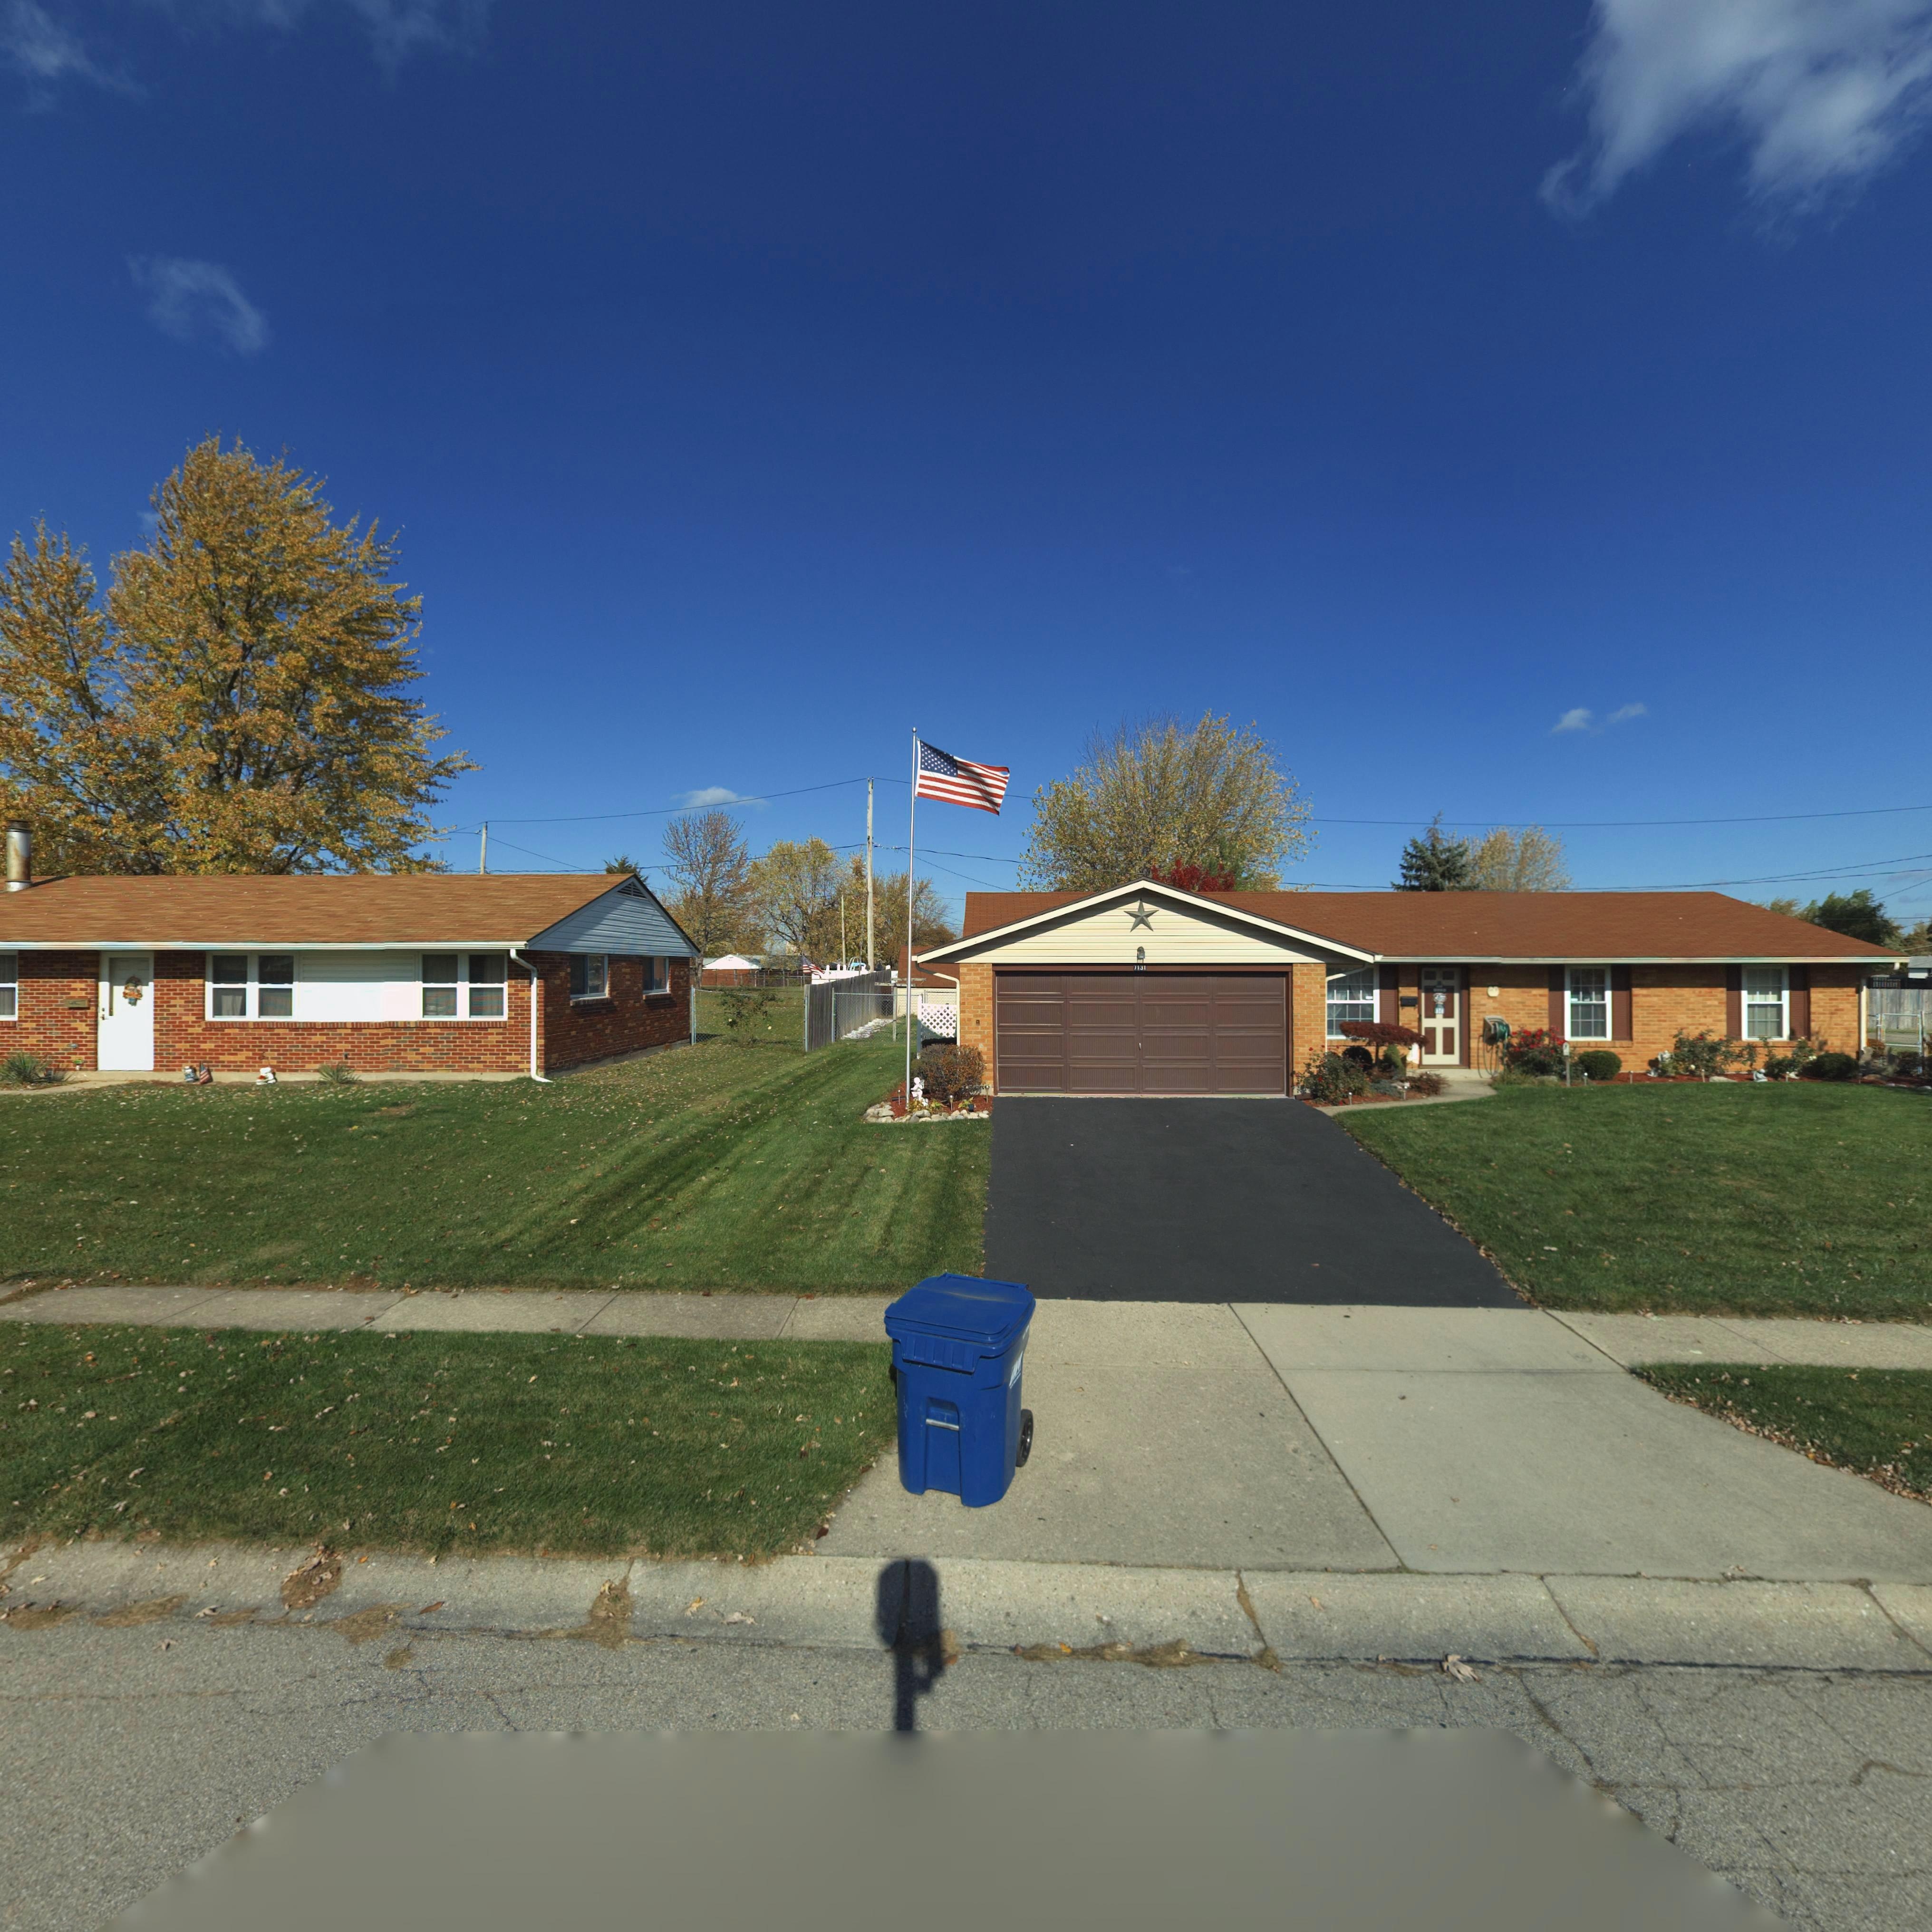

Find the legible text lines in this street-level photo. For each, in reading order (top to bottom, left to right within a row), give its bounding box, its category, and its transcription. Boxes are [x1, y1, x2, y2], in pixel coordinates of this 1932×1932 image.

[1133, 964, 1147, 972] StreetNumber: *131